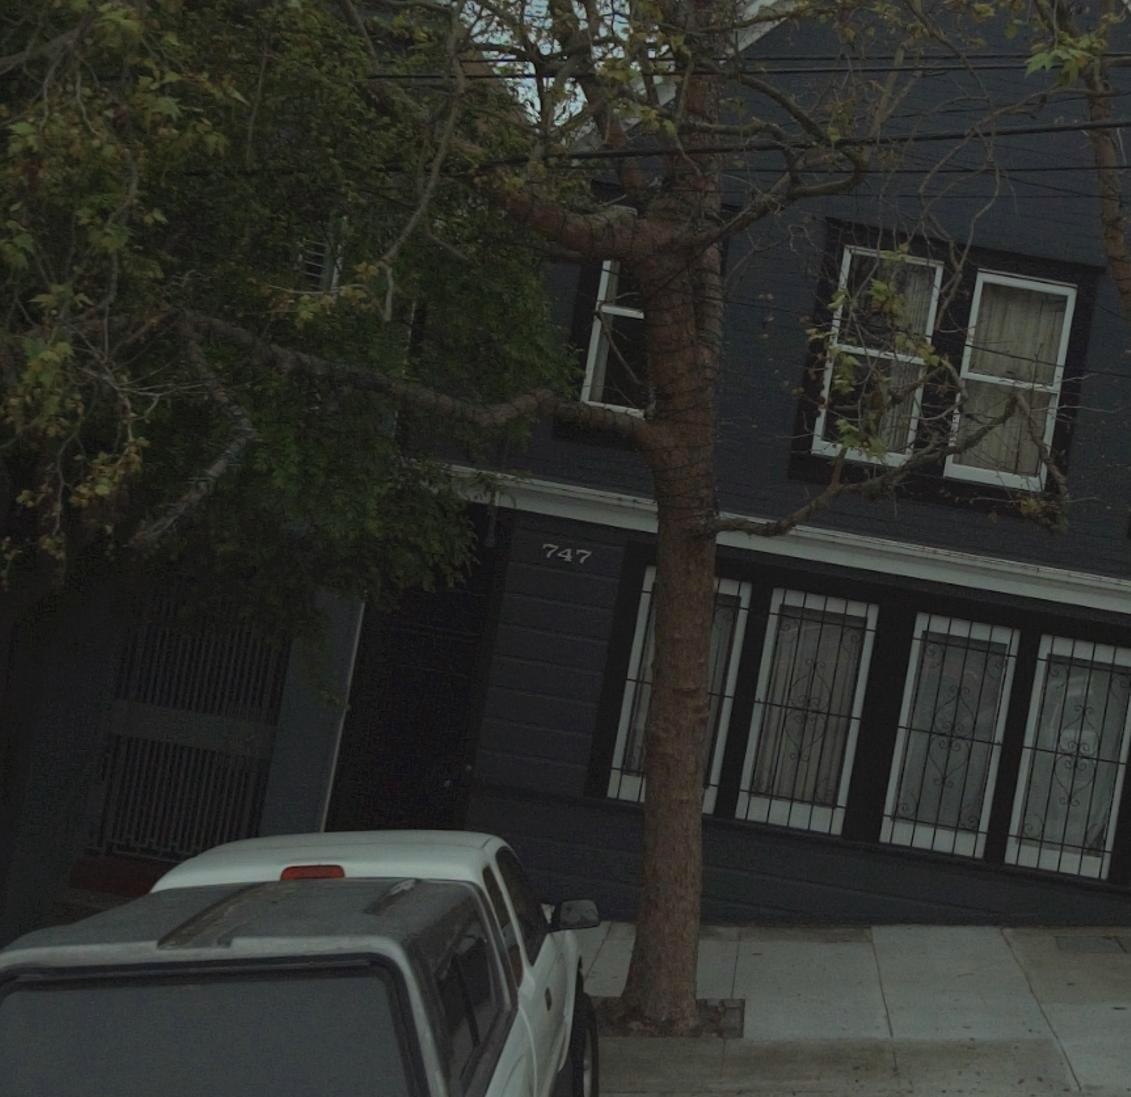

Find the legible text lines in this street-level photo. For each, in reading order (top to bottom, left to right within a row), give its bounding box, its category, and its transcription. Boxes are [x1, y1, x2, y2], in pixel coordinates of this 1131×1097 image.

[541, 540, 597, 566] StreetNumber: 747